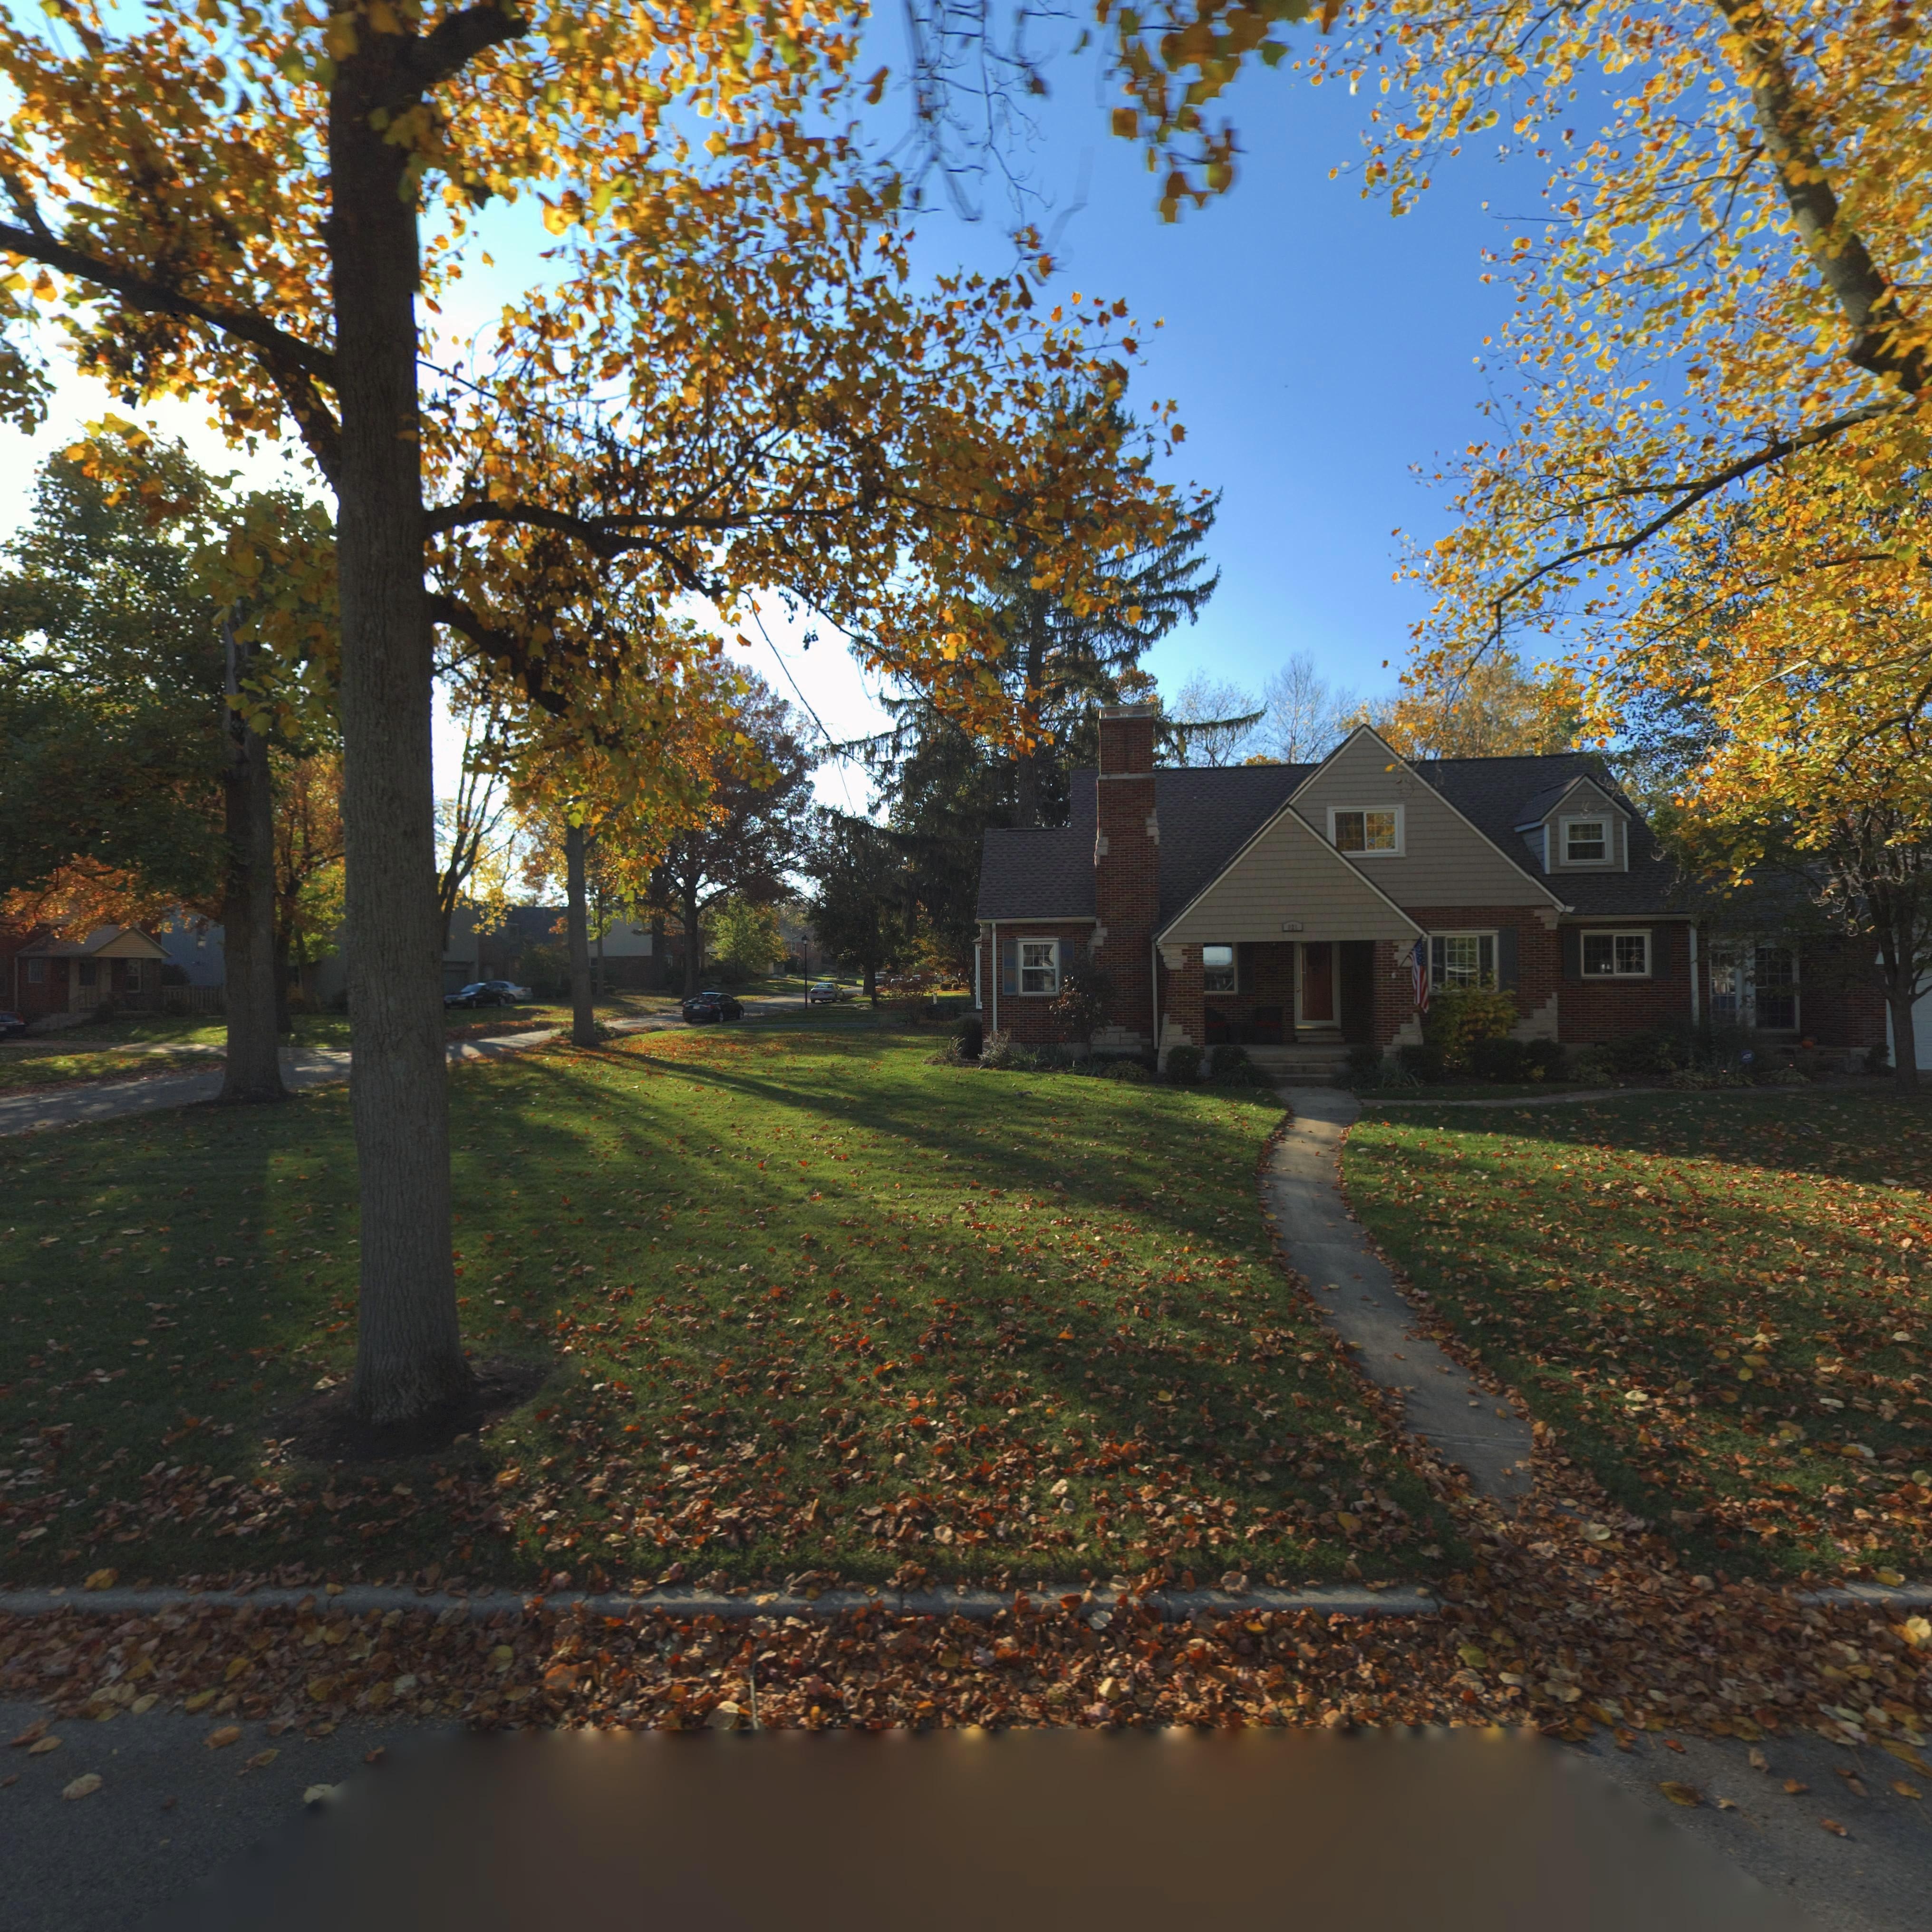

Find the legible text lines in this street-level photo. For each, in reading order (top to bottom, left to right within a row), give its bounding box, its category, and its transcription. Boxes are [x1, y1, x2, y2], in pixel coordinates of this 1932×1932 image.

[1287, 924, 1298, 930] StreetNumber: 8**